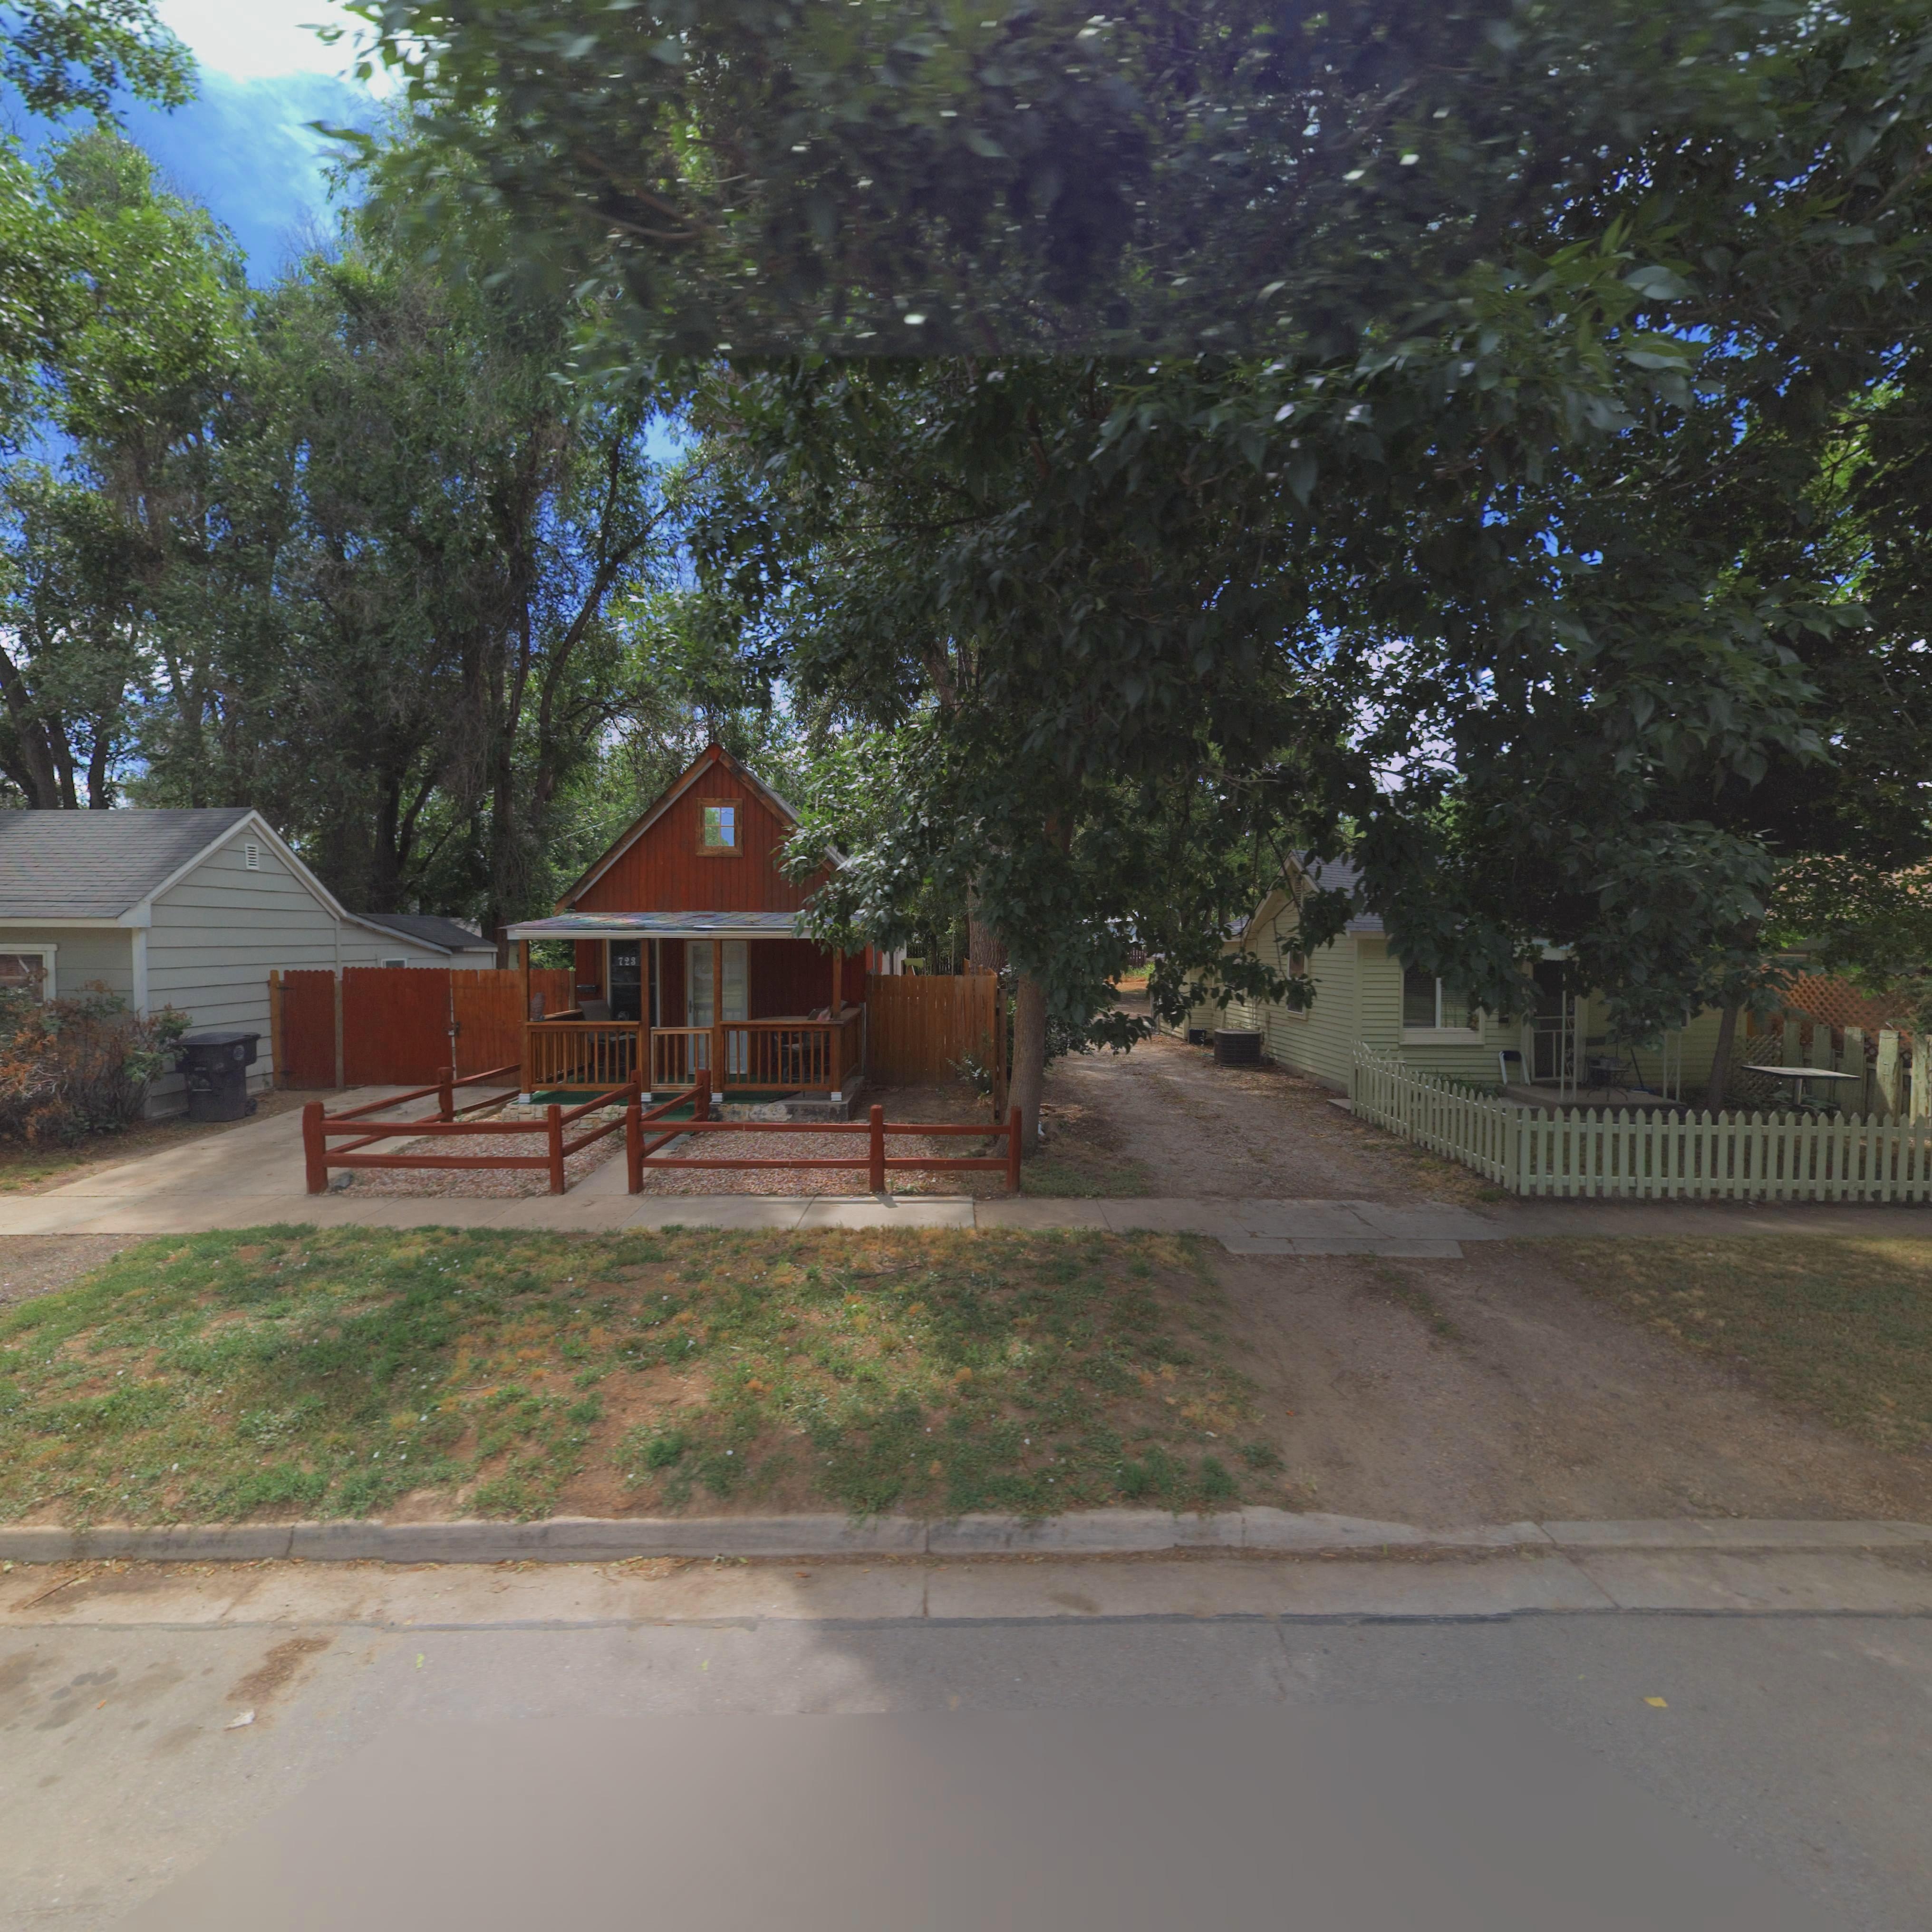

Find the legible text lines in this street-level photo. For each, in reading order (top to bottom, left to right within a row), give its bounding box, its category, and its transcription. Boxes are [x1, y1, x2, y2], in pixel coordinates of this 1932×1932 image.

[617, 956, 636, 966] StreetNumber: 723